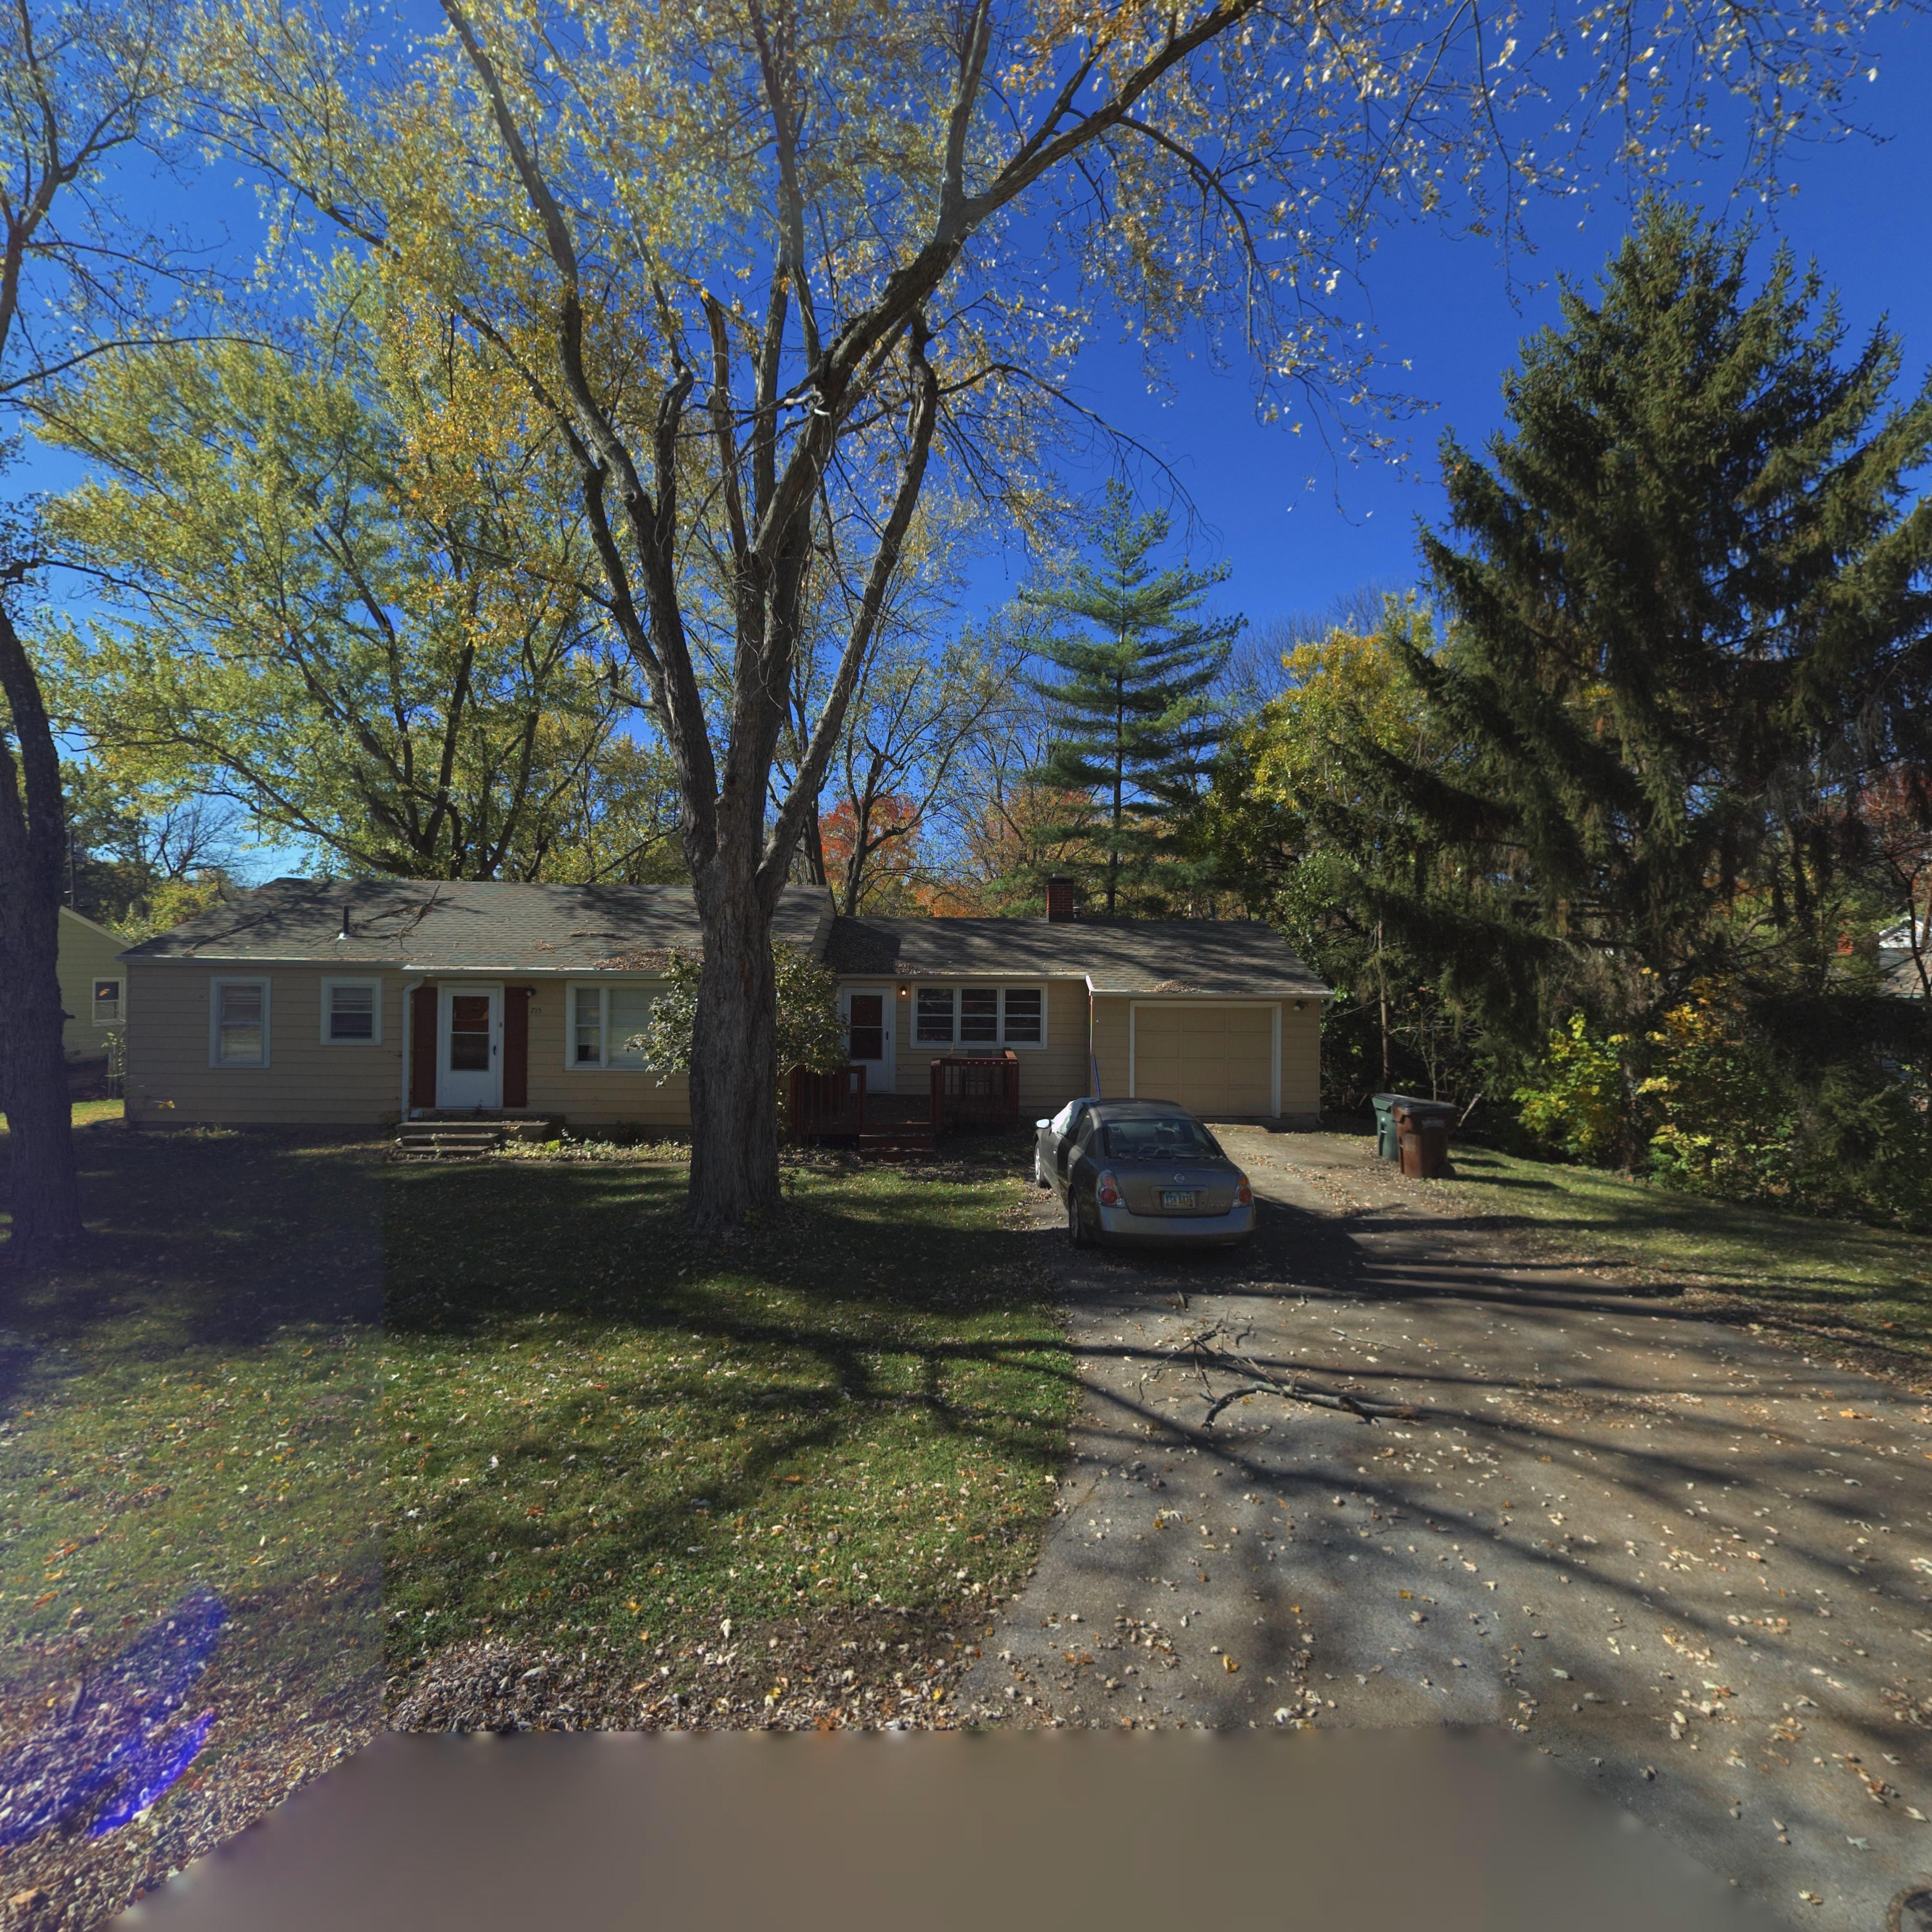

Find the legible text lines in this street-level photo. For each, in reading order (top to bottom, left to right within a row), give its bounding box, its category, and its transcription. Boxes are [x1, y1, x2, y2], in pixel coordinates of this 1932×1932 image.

[530, 1007, 541, 1014] StreetNumber: 715